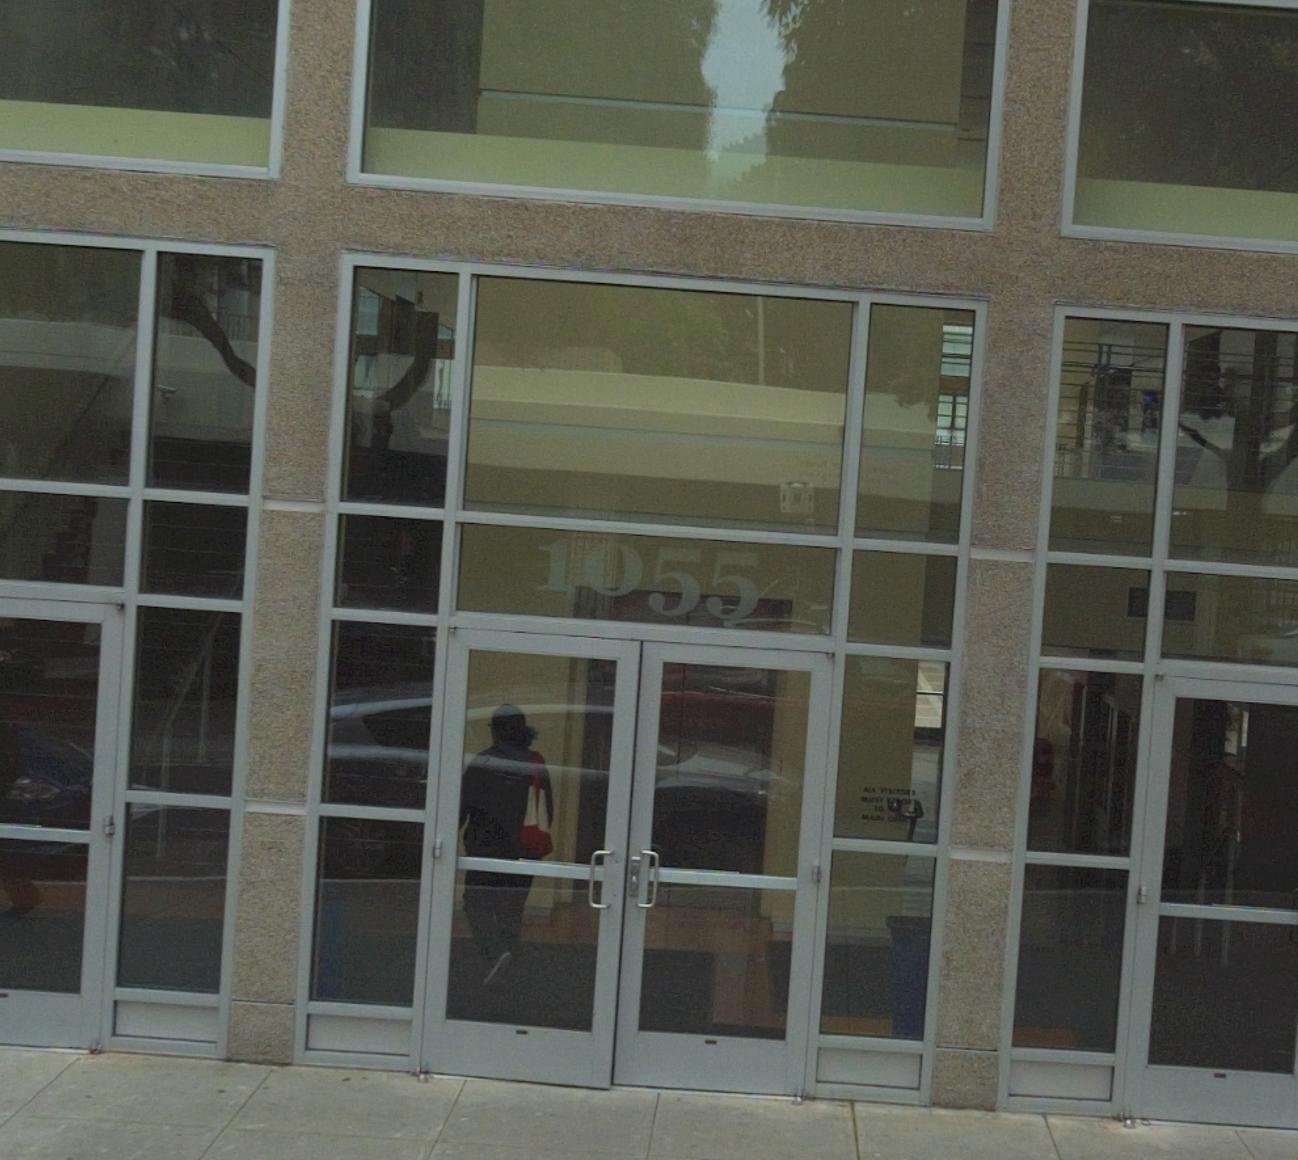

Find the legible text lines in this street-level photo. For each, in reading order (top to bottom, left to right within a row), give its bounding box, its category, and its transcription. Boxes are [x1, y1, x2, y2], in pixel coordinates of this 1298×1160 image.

[535, 535, 761, 623] StreetNumber: 1055